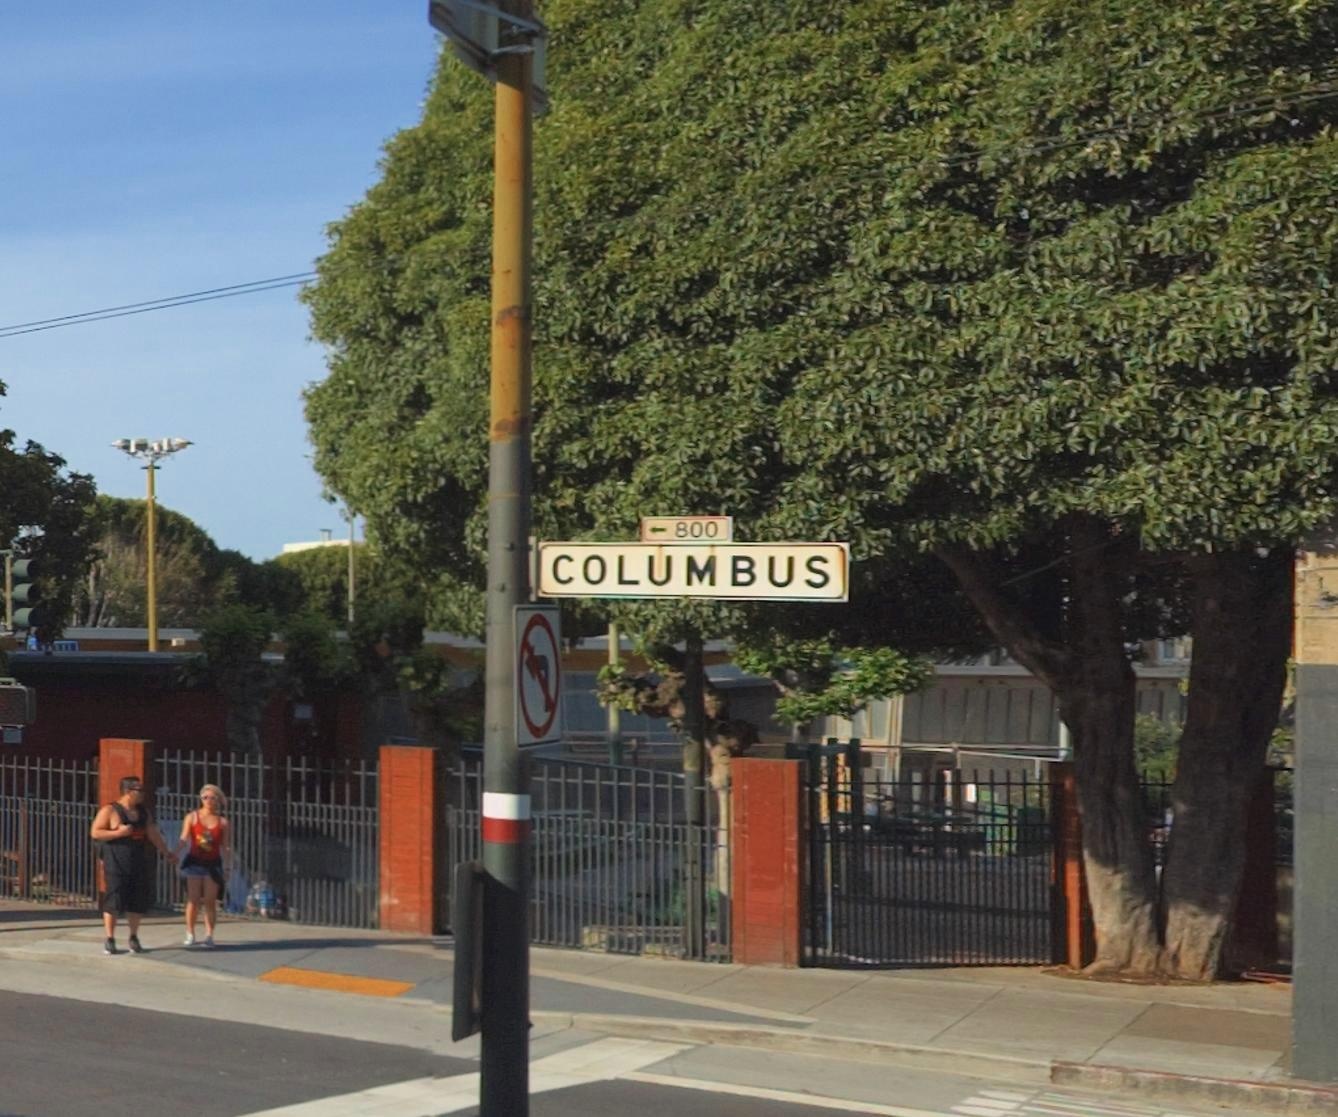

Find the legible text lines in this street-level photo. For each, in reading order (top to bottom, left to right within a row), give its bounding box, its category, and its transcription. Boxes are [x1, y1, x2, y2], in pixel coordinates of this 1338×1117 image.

[646, 519, 720, 540] StreetNumberRange: <-800
[549, 551, 832, 591] StreetName: COLUMBUS